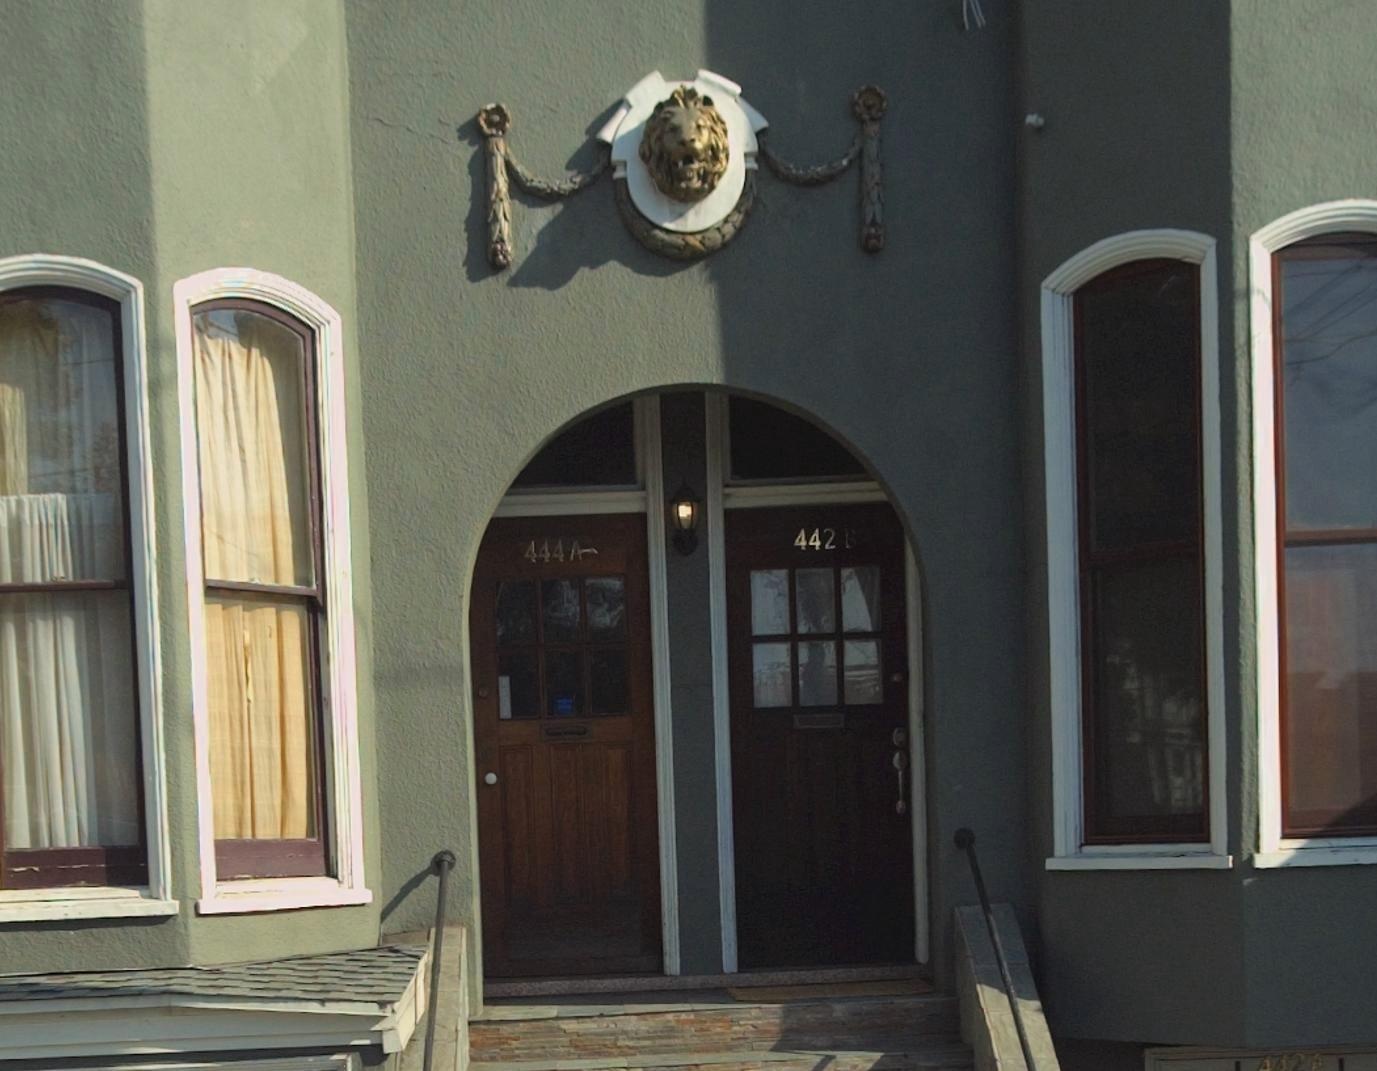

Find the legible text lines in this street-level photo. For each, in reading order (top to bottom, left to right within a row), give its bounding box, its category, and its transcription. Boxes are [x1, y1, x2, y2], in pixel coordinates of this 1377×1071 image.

[523, 537, 585, 567] StreetNumber: 444A
[793, 524, 860, 552] StreetNumber: 442B